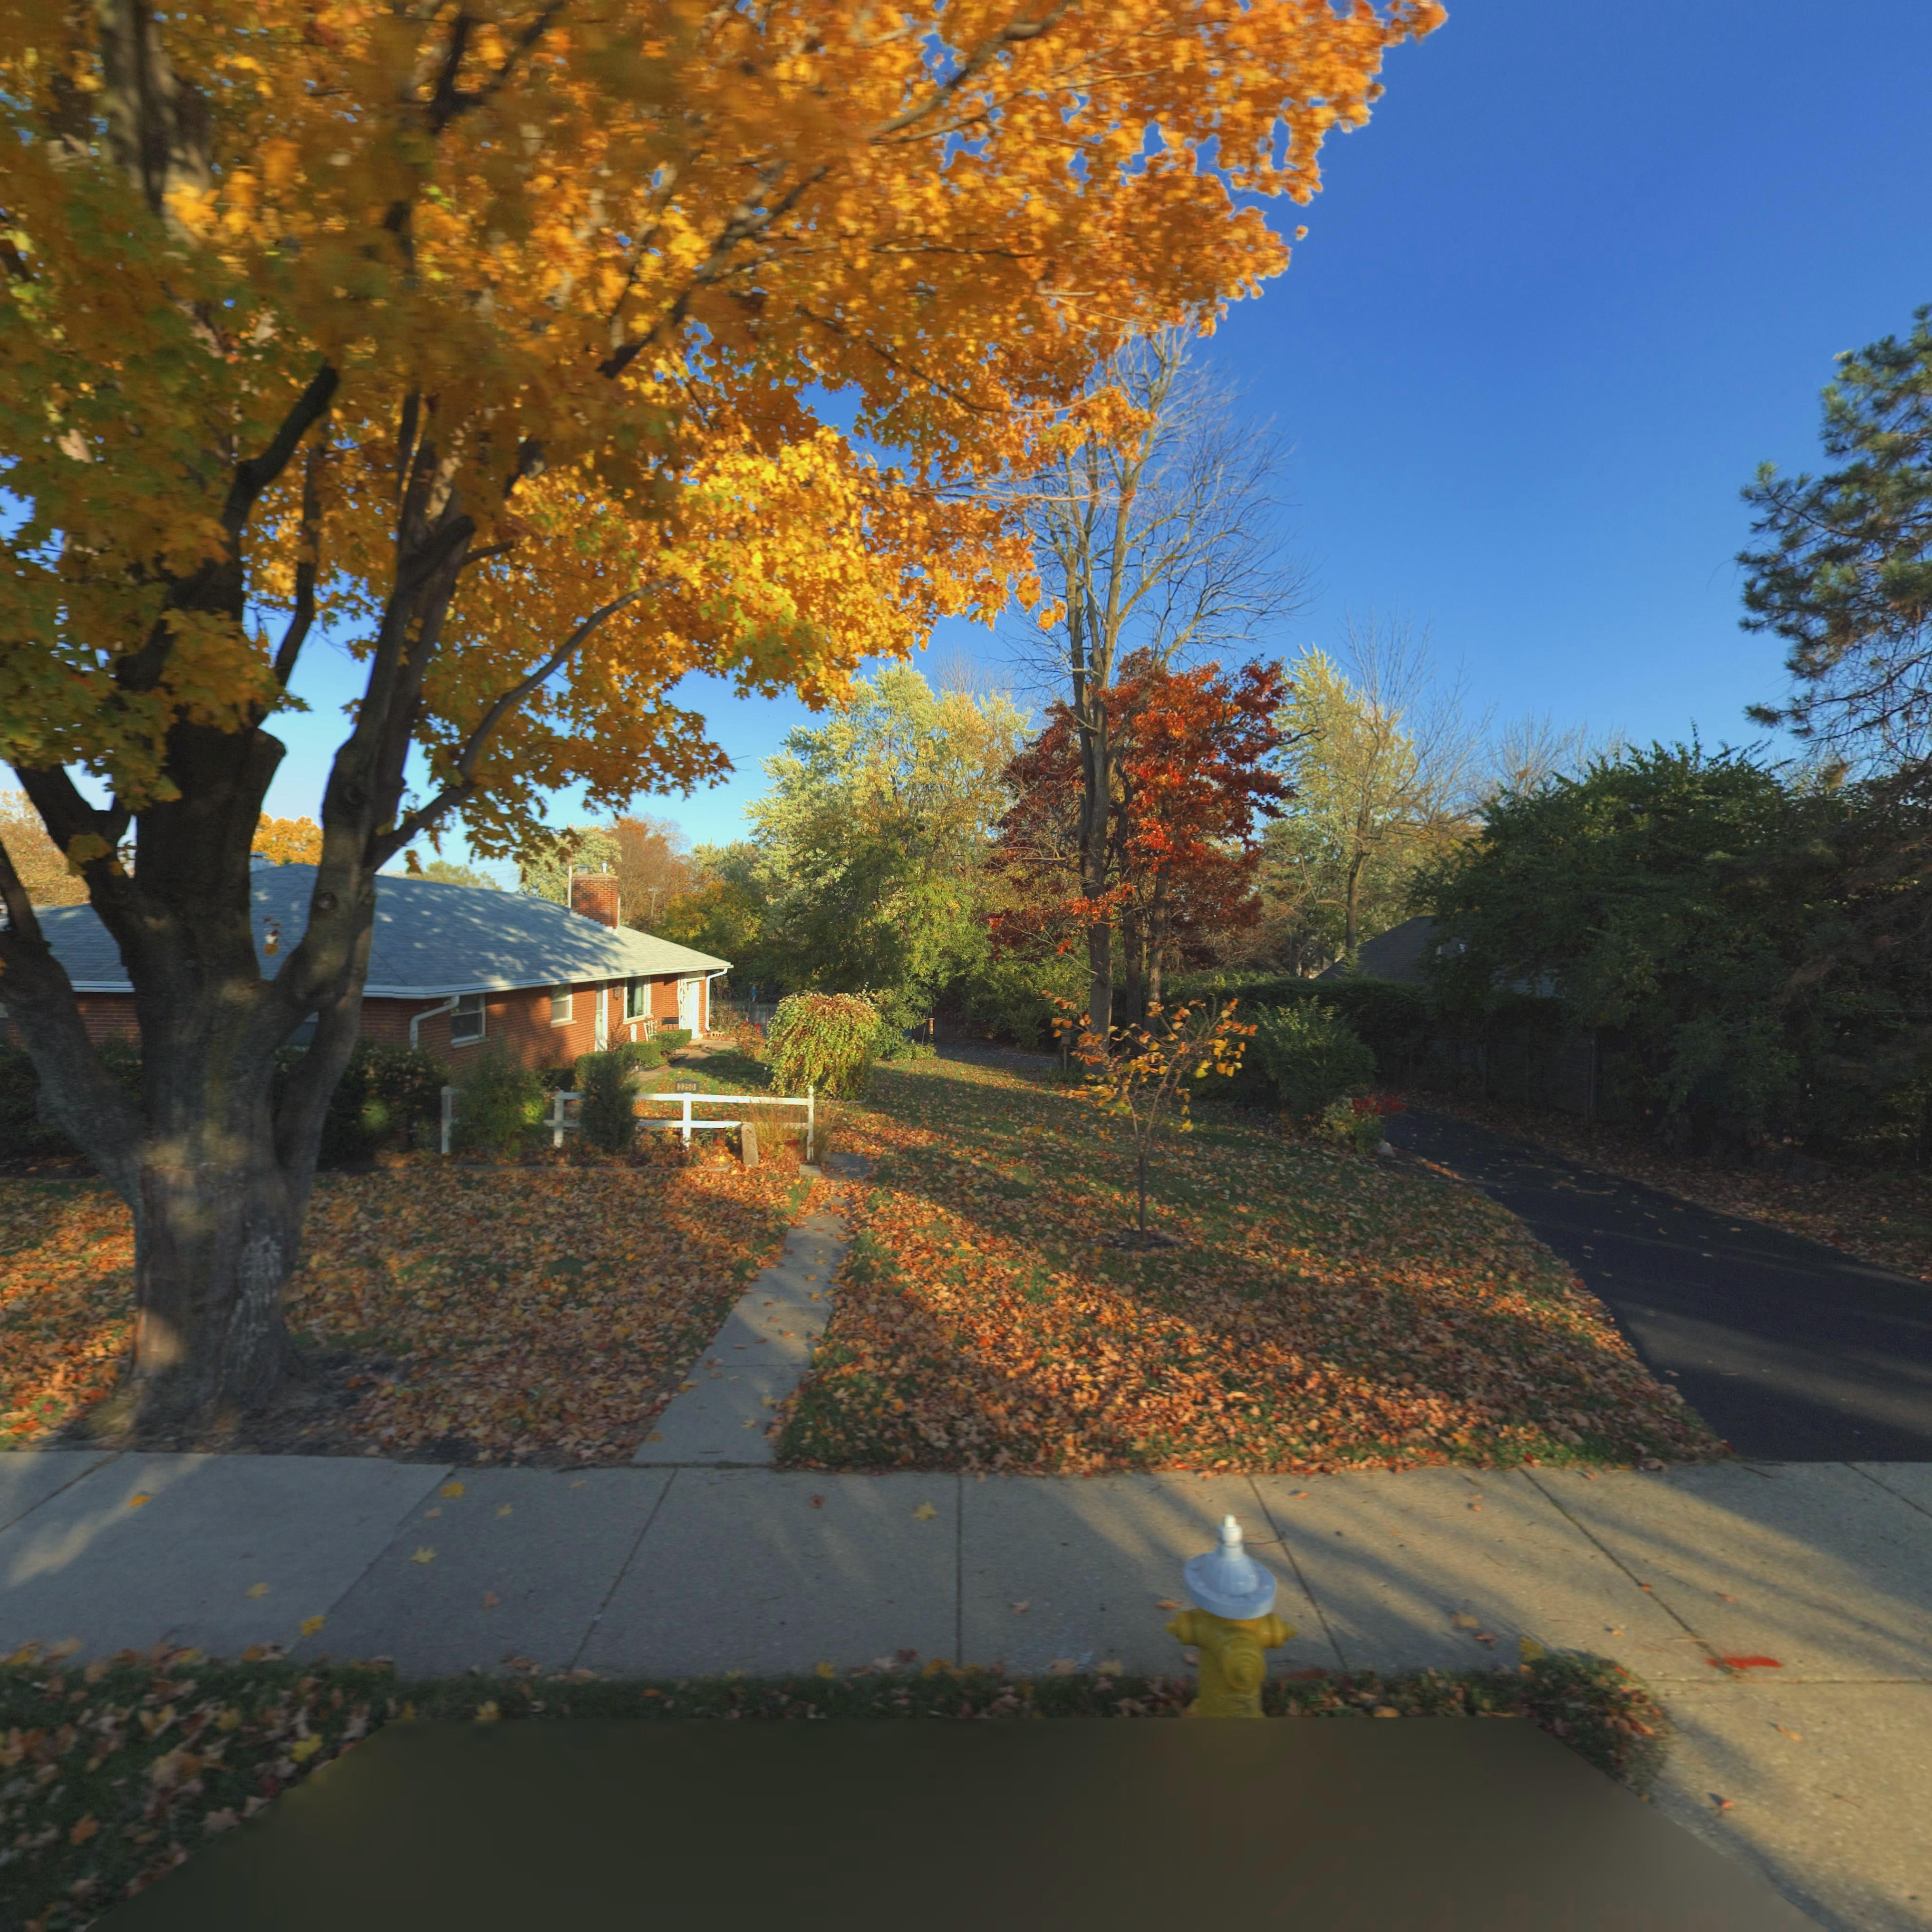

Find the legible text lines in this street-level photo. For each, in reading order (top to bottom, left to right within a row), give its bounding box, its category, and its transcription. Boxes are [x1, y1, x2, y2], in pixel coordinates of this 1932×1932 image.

[677, 1083, 695, 1092] StreetNumber: 3250